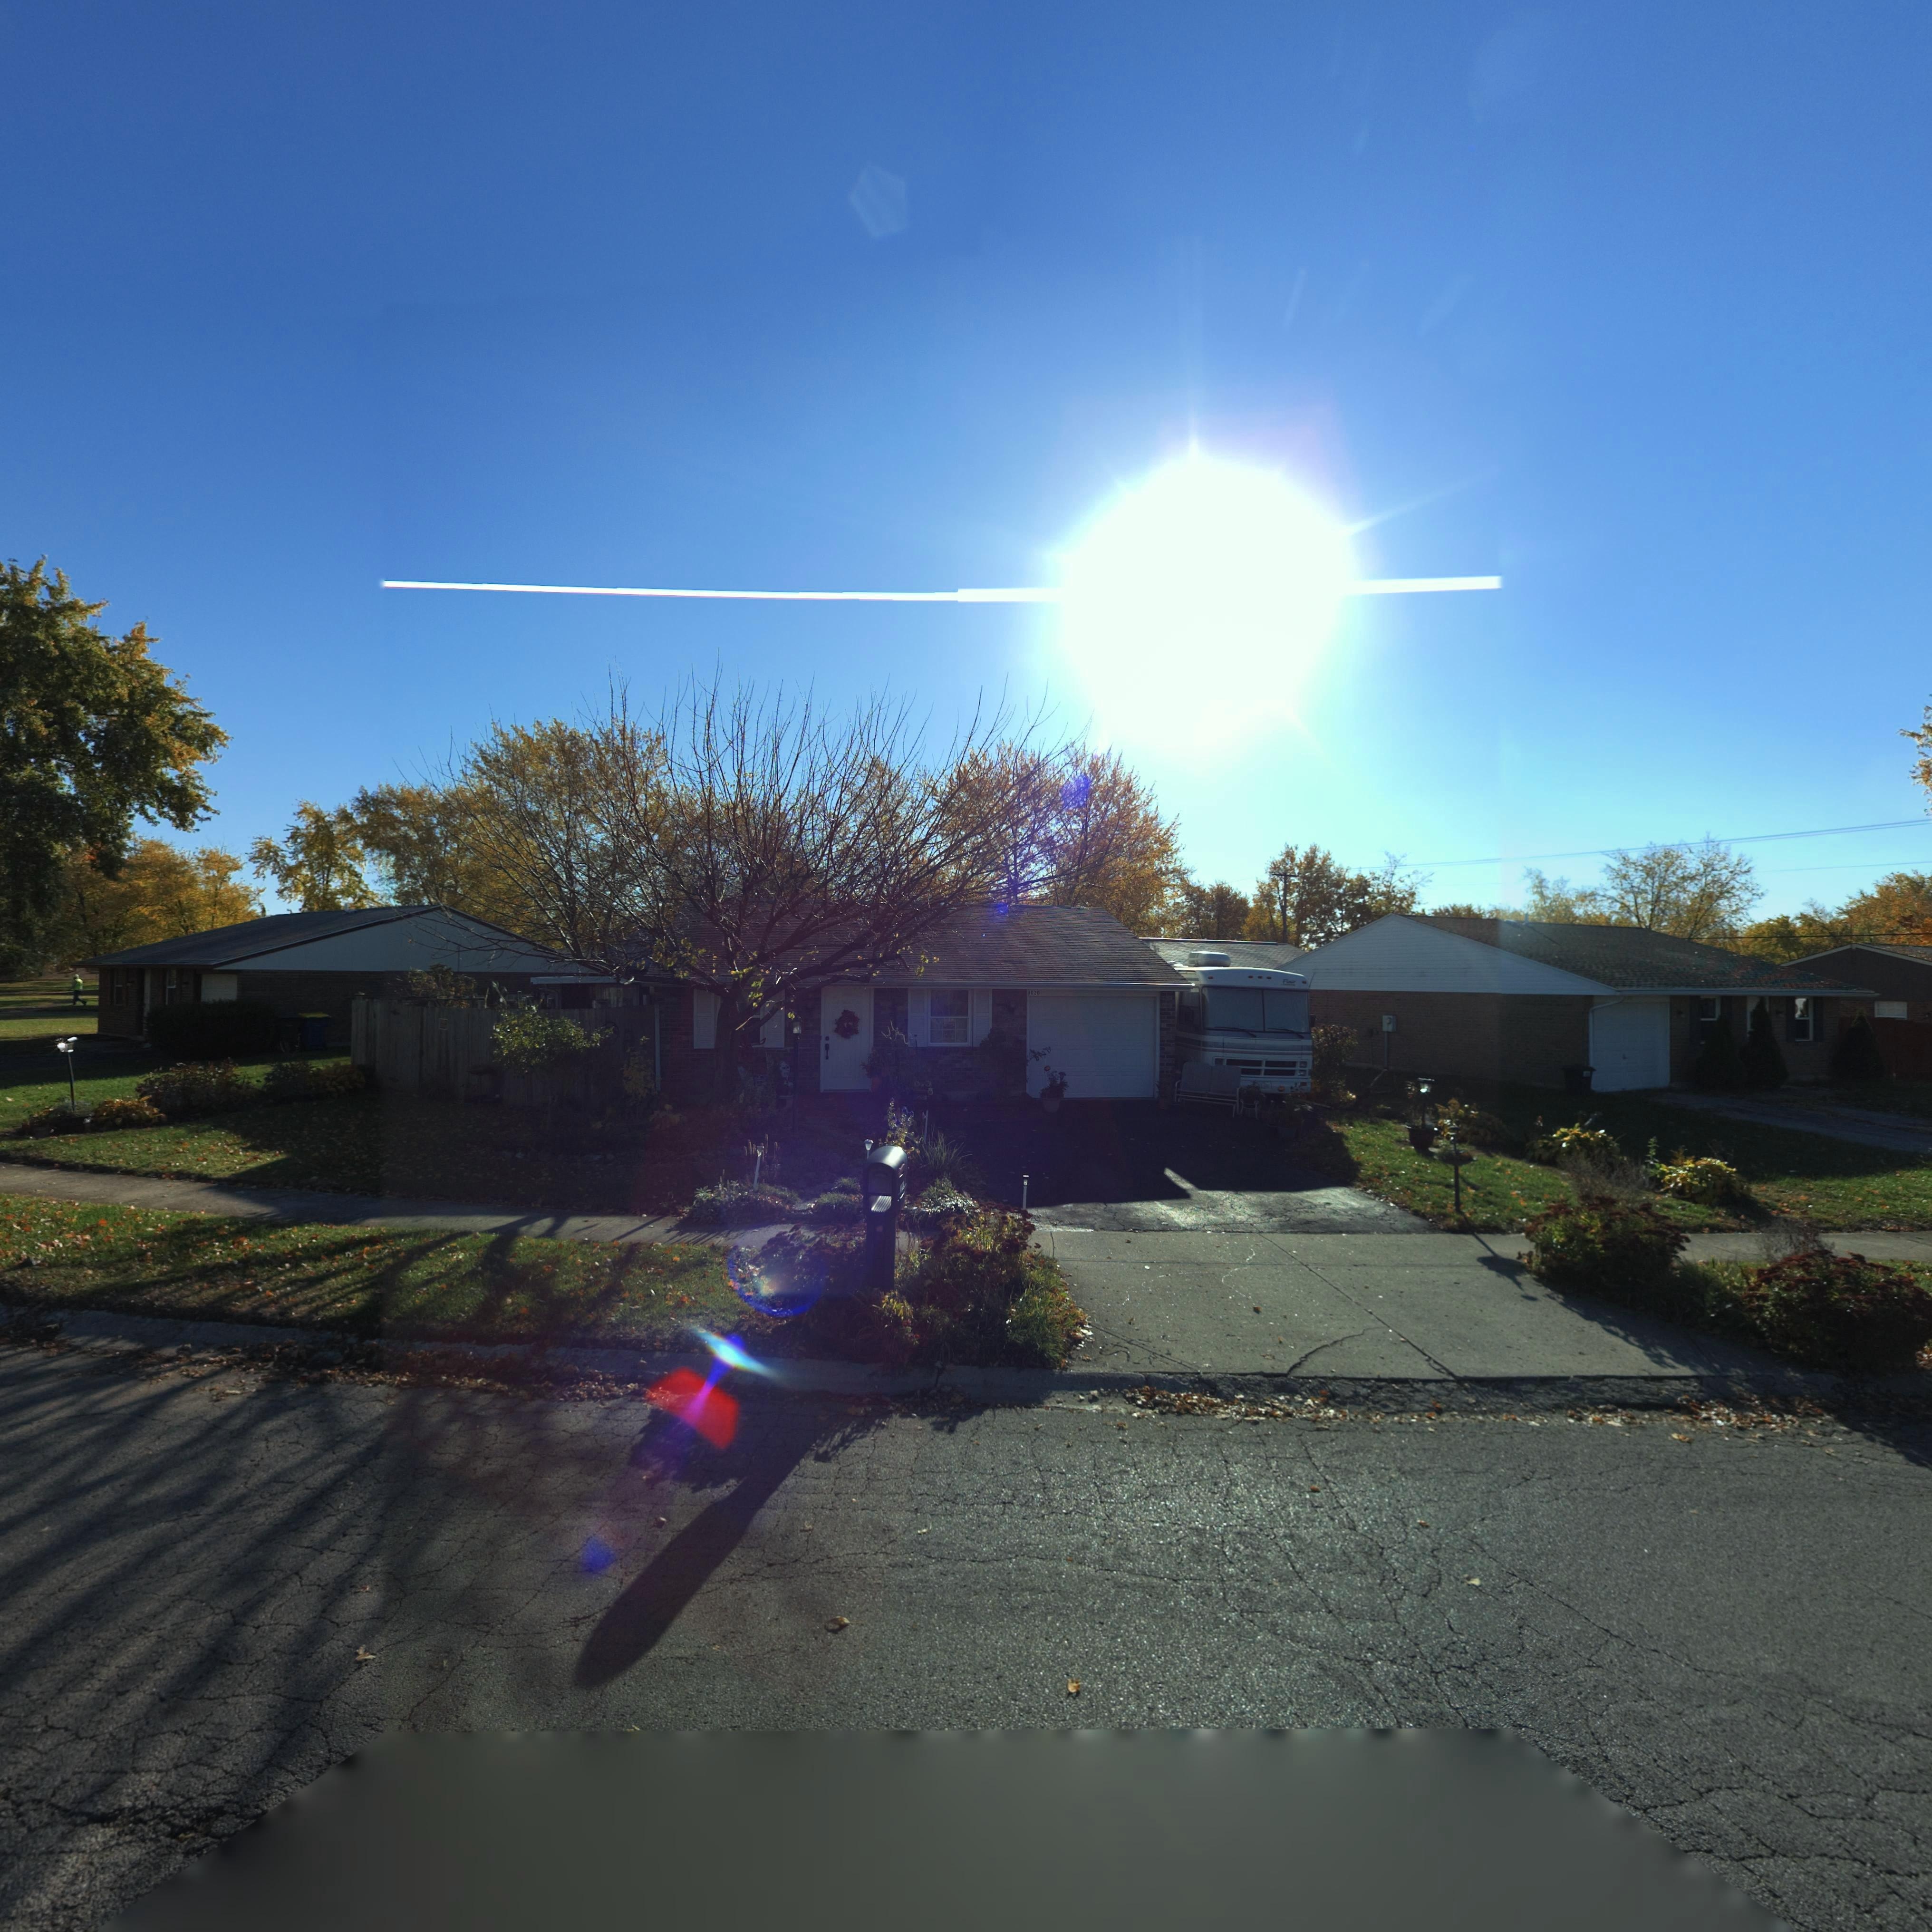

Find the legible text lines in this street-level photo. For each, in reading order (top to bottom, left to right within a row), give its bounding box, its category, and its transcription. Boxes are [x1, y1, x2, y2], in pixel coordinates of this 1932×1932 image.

[1027, 989, 1041, 996] StreetNumber: *020